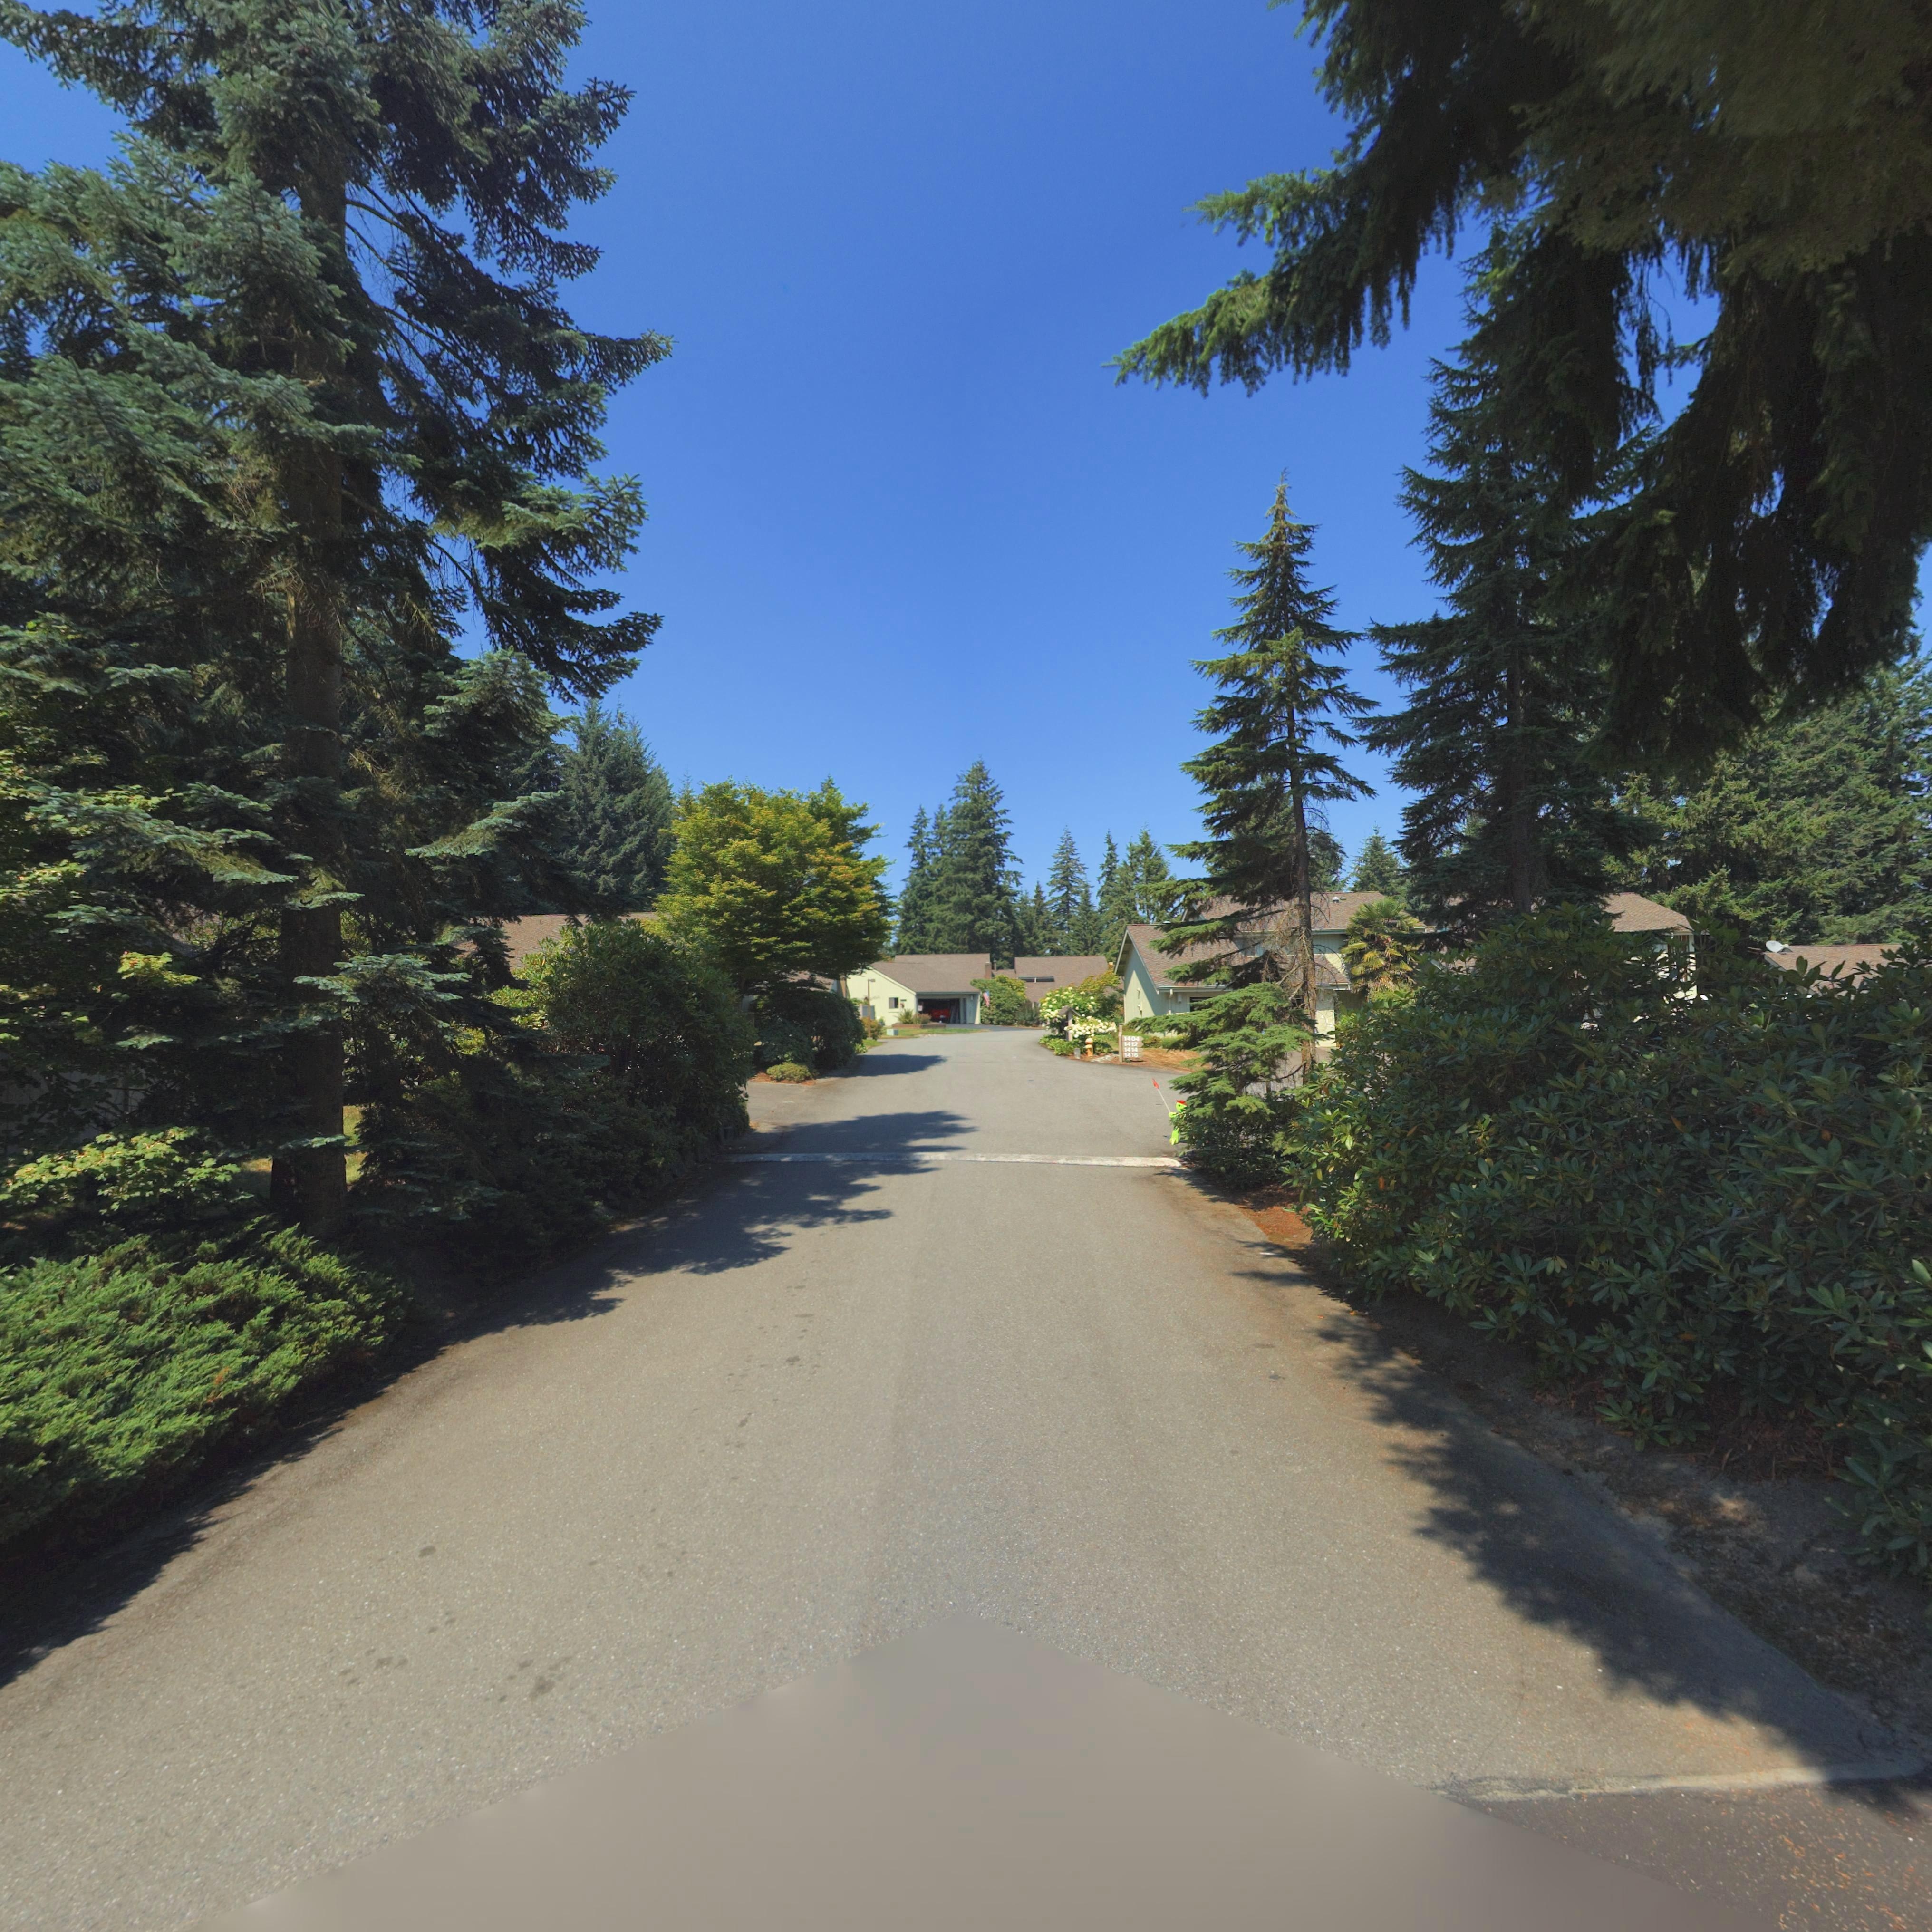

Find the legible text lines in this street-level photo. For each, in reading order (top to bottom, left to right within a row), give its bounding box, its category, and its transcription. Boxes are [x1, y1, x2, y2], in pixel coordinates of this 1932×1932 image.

[1123, 1036, 1140, 1041] StreetNumber: 1404
[1124, 1042, 1138, 1047] StreetNumber: 1412
[1124, 1047, 1138, 1053] StreetNumber: 1414
[1124, 1052, 1138, 1057] StreetNumber: 1416